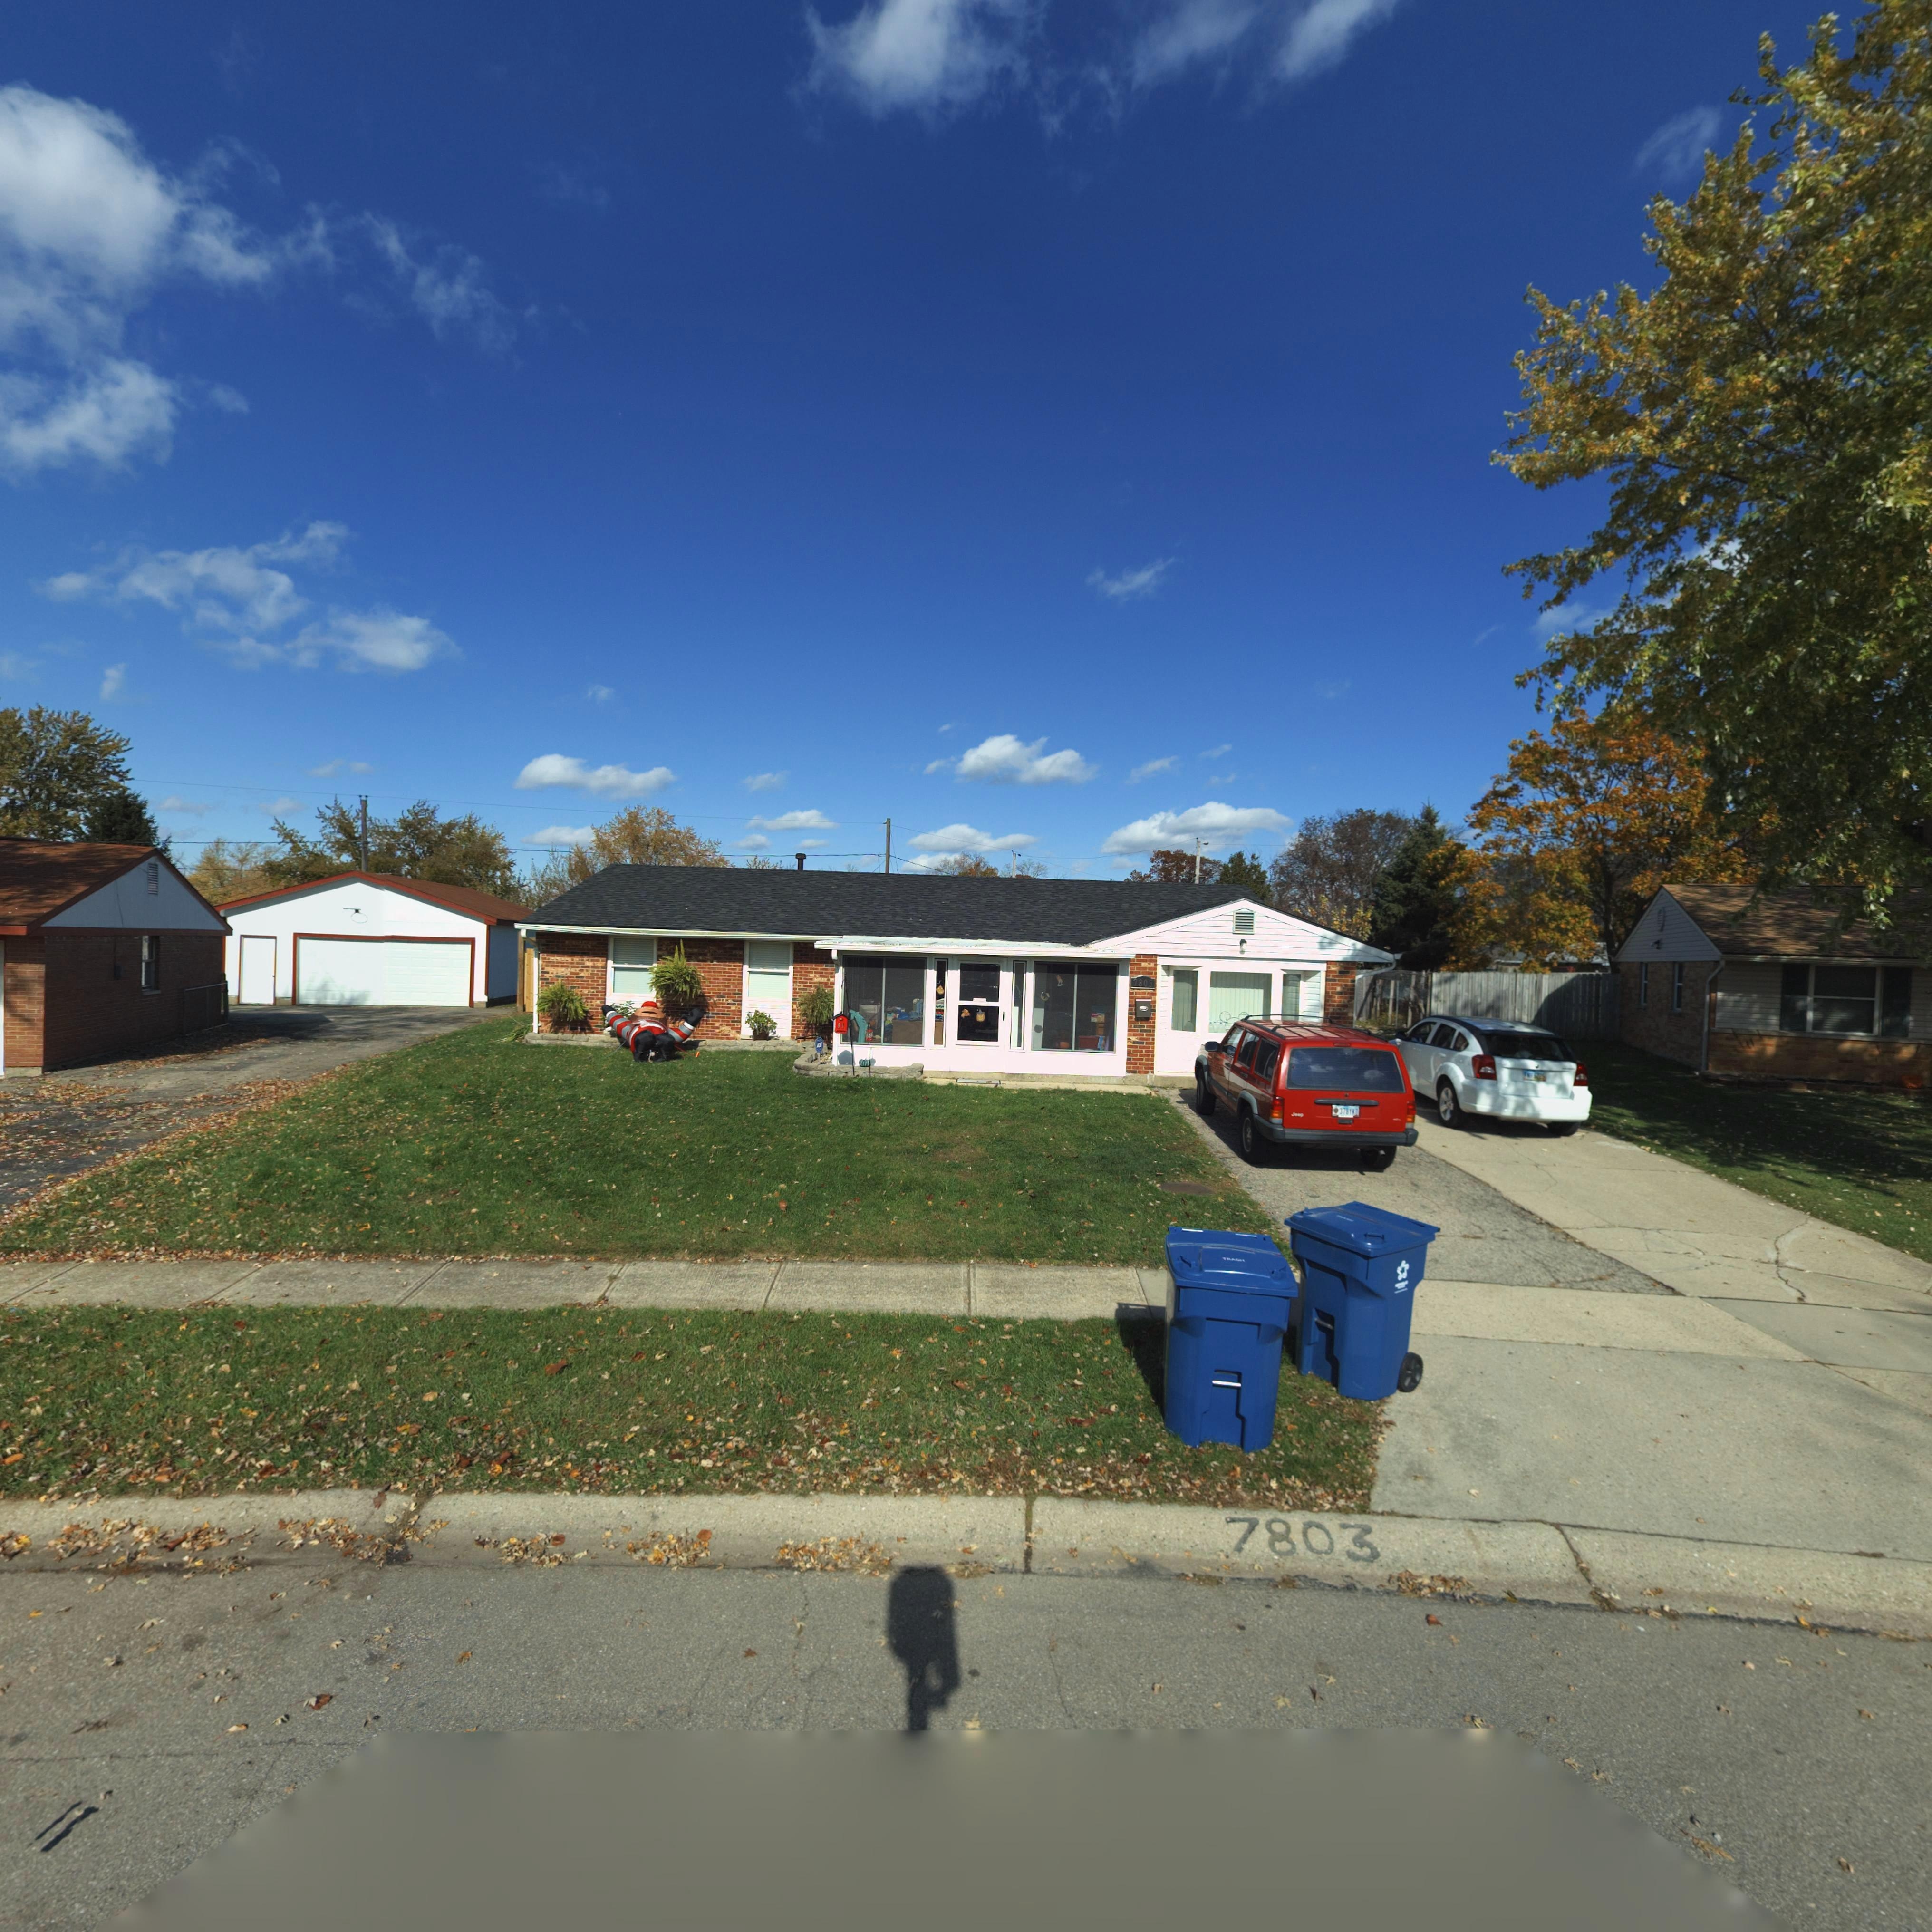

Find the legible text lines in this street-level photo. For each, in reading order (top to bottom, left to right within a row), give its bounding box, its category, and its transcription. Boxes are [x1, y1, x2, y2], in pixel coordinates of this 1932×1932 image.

[1133, 978, 1154, 988] StreetNumber: 7803
[1224, 1516, 1382, 1564] StreetNumber: 7803